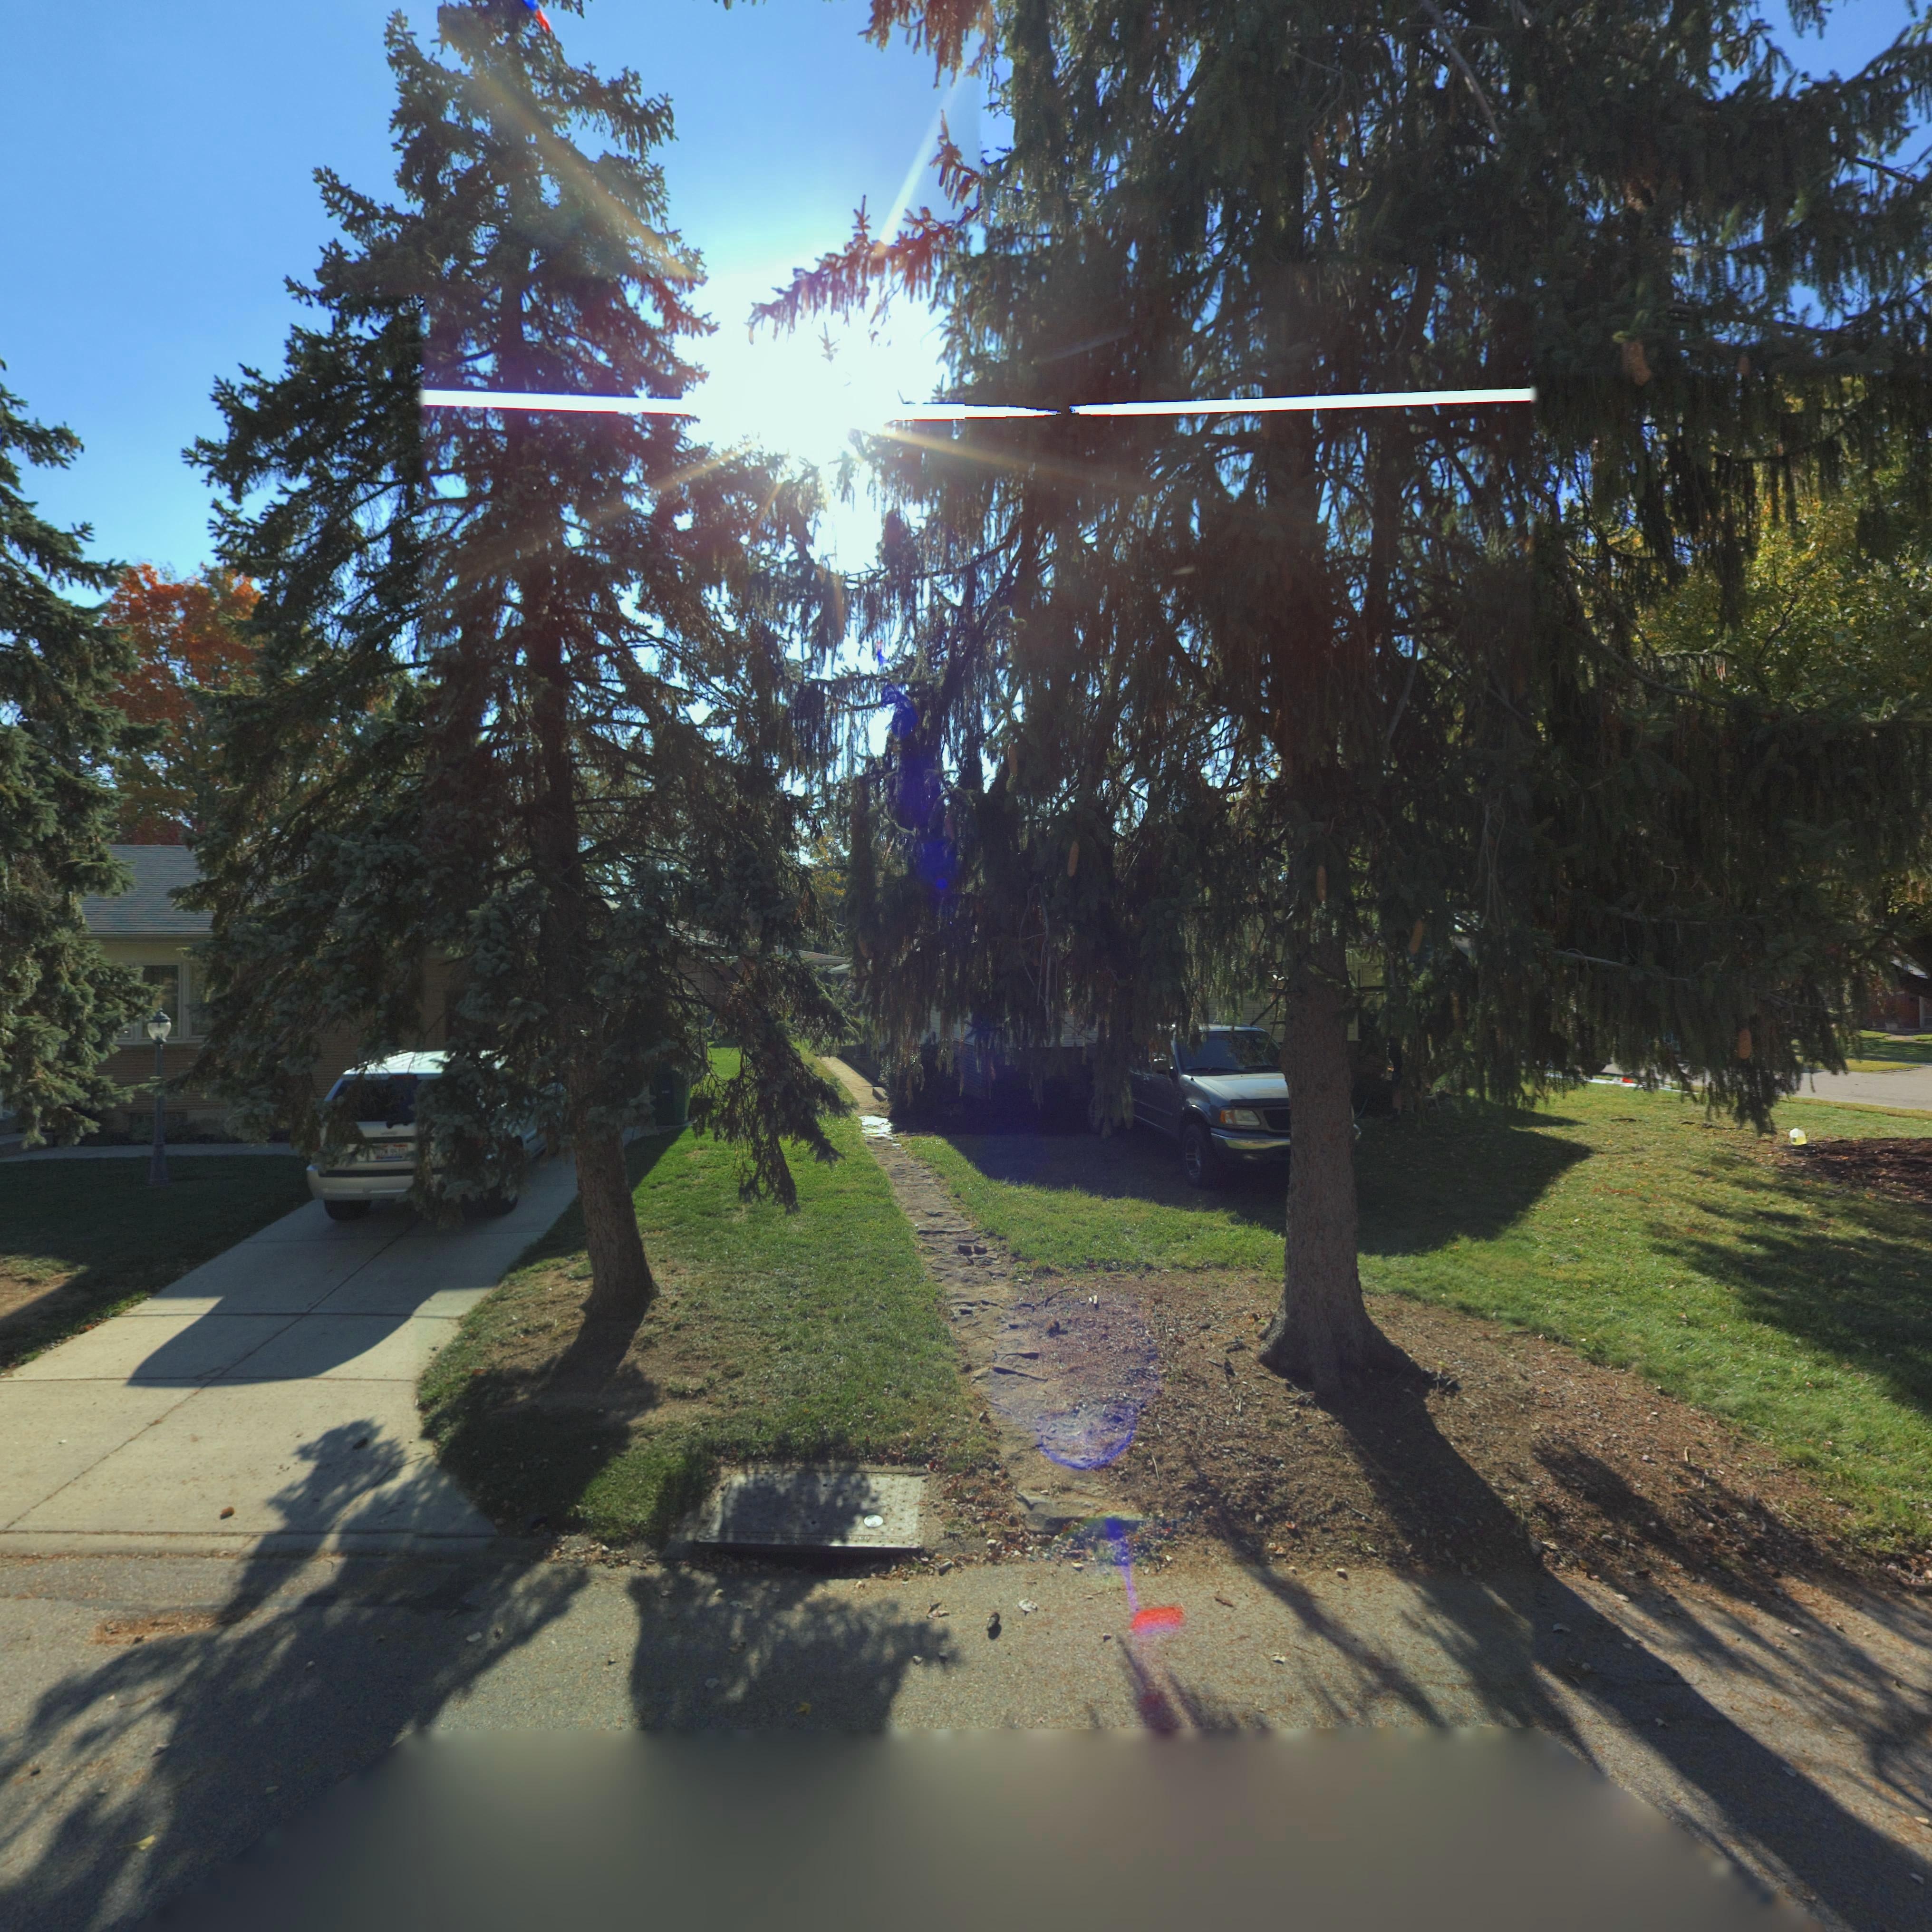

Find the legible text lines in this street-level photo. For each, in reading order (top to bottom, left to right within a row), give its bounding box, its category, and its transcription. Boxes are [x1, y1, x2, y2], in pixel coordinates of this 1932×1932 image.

[389, 1148, 406, 1156] None: 9510
[858, 1535, 870, 1541] None: CO